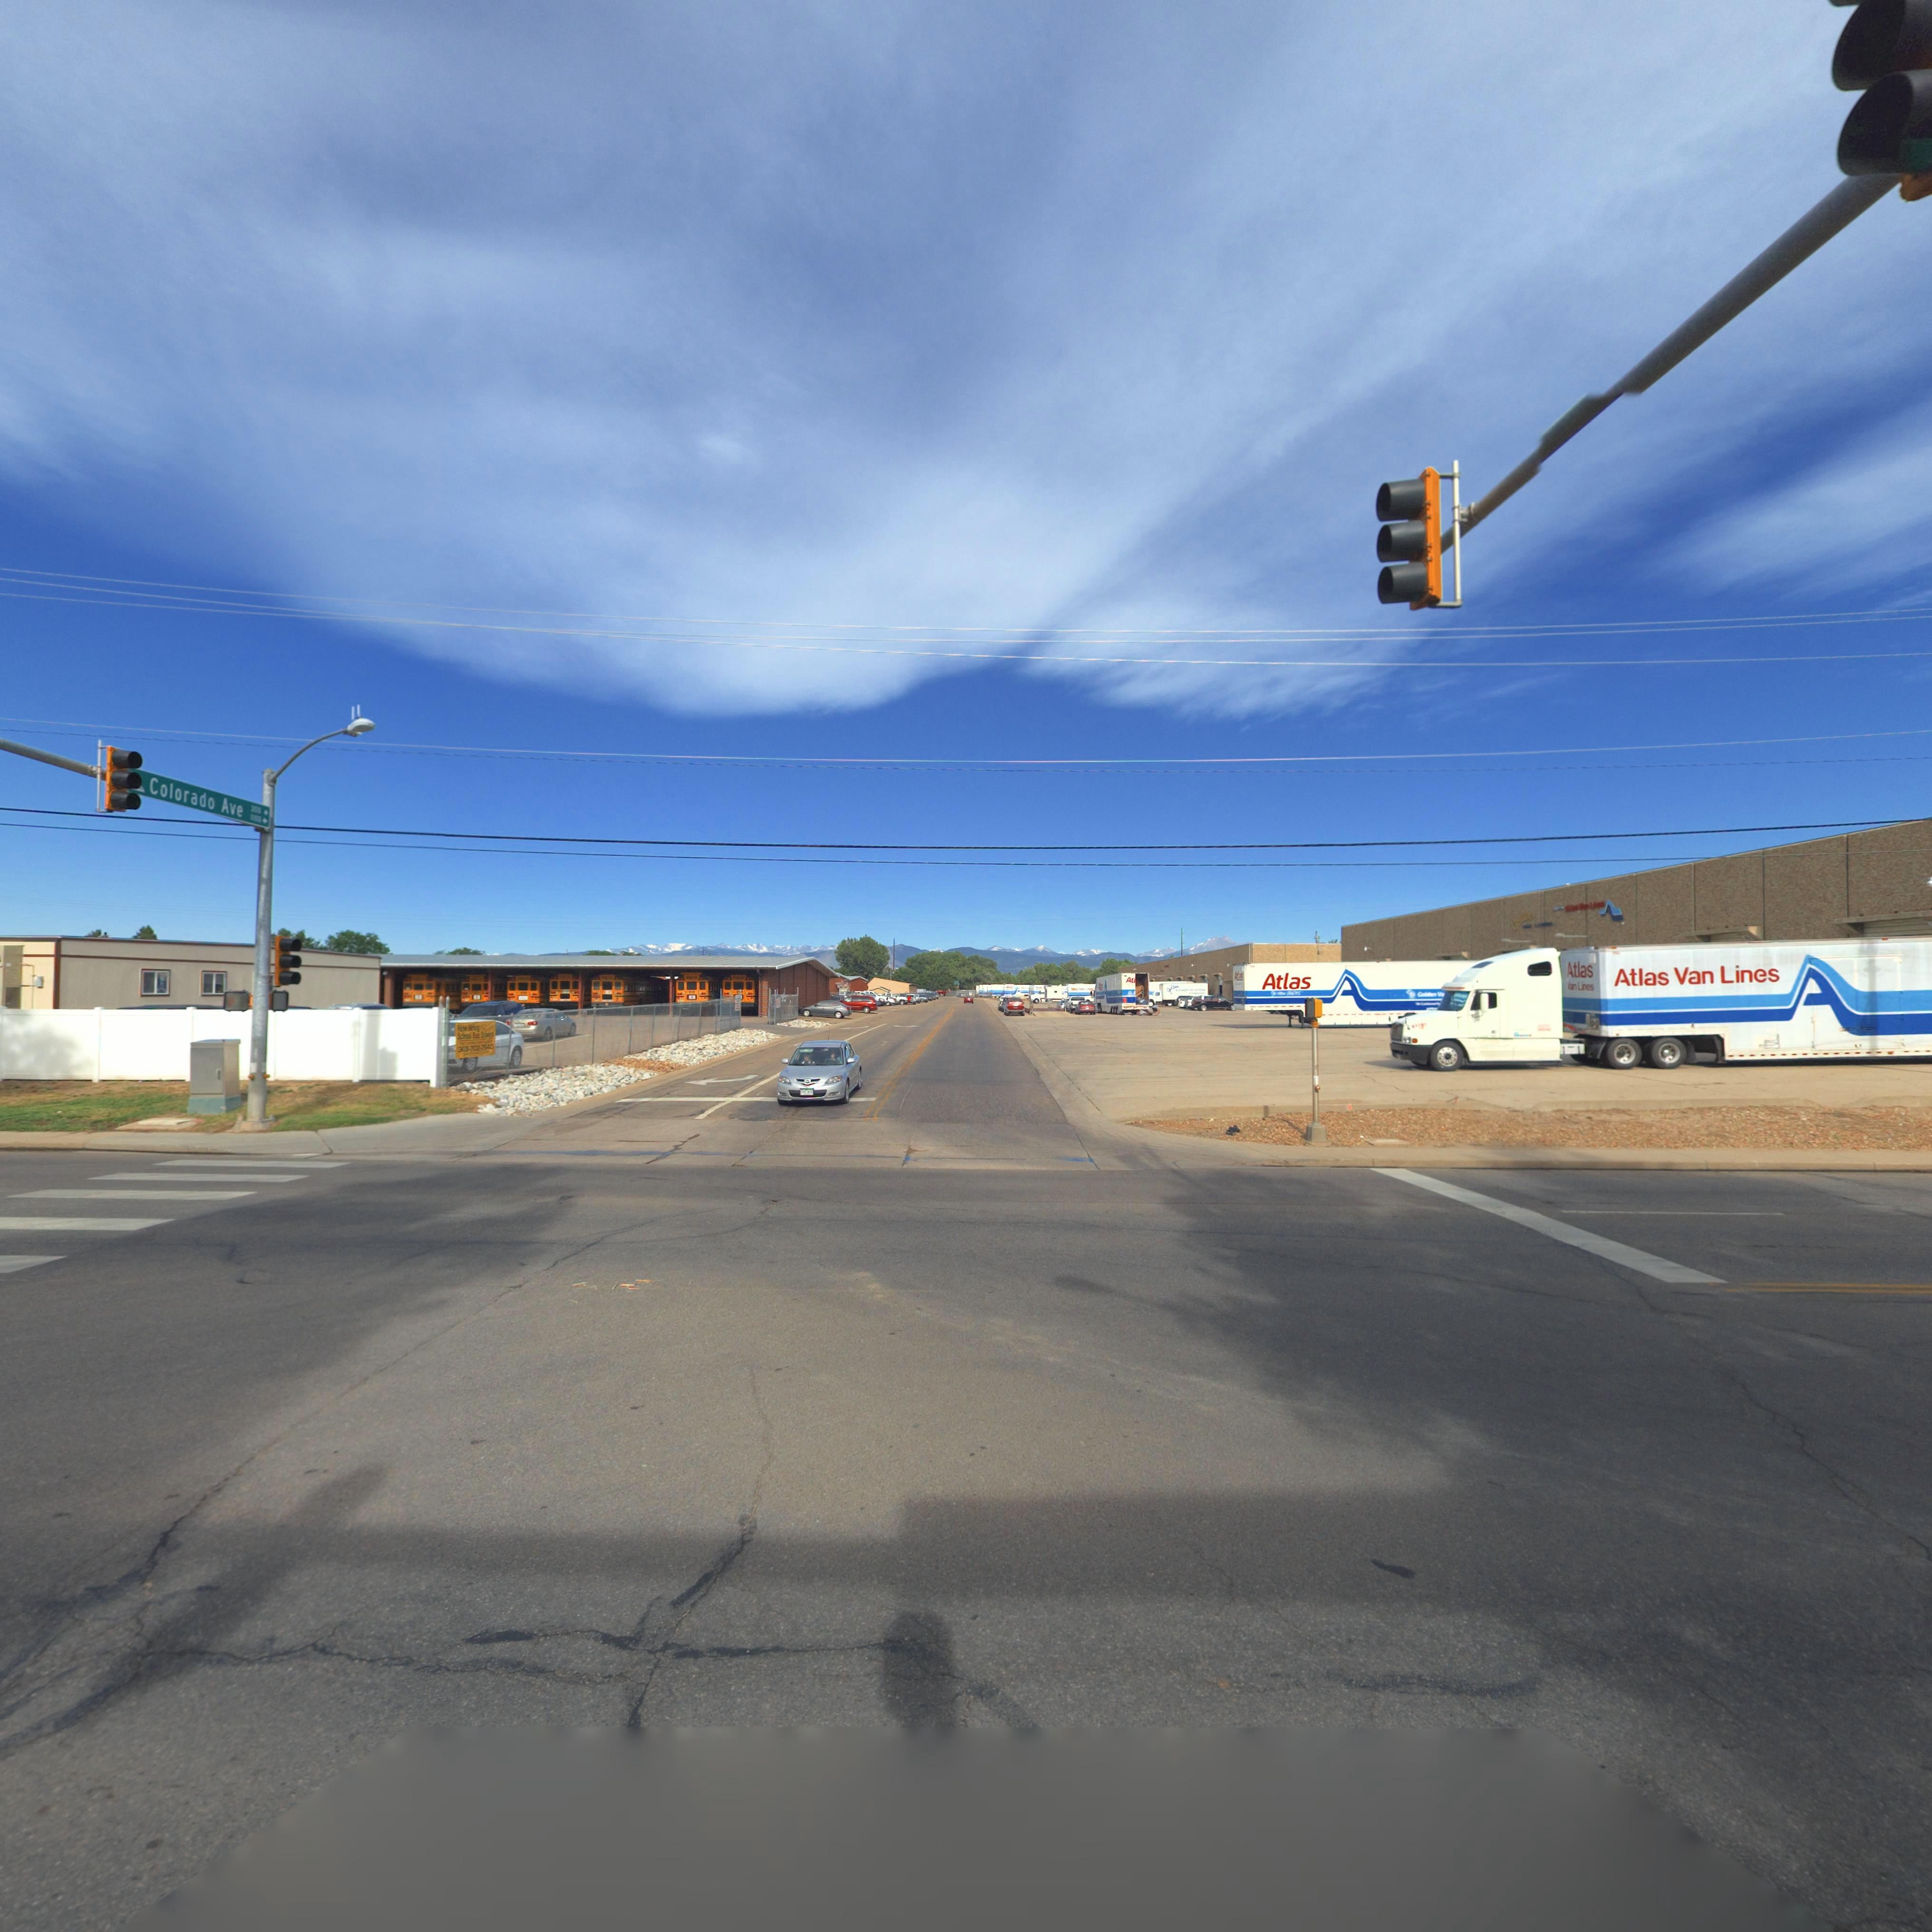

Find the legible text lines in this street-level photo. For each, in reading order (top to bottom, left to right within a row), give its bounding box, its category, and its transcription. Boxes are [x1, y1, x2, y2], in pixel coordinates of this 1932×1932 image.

[148, 776, 244, 818] StreetName: Colorado Ave
[250, 804, 262, 814] StreetNumberRange: *00
[250, 813, 268, 824] StreetNumberRange: **00->
[1564, 900, 1606, 913] BusinessName: A**** V** L****